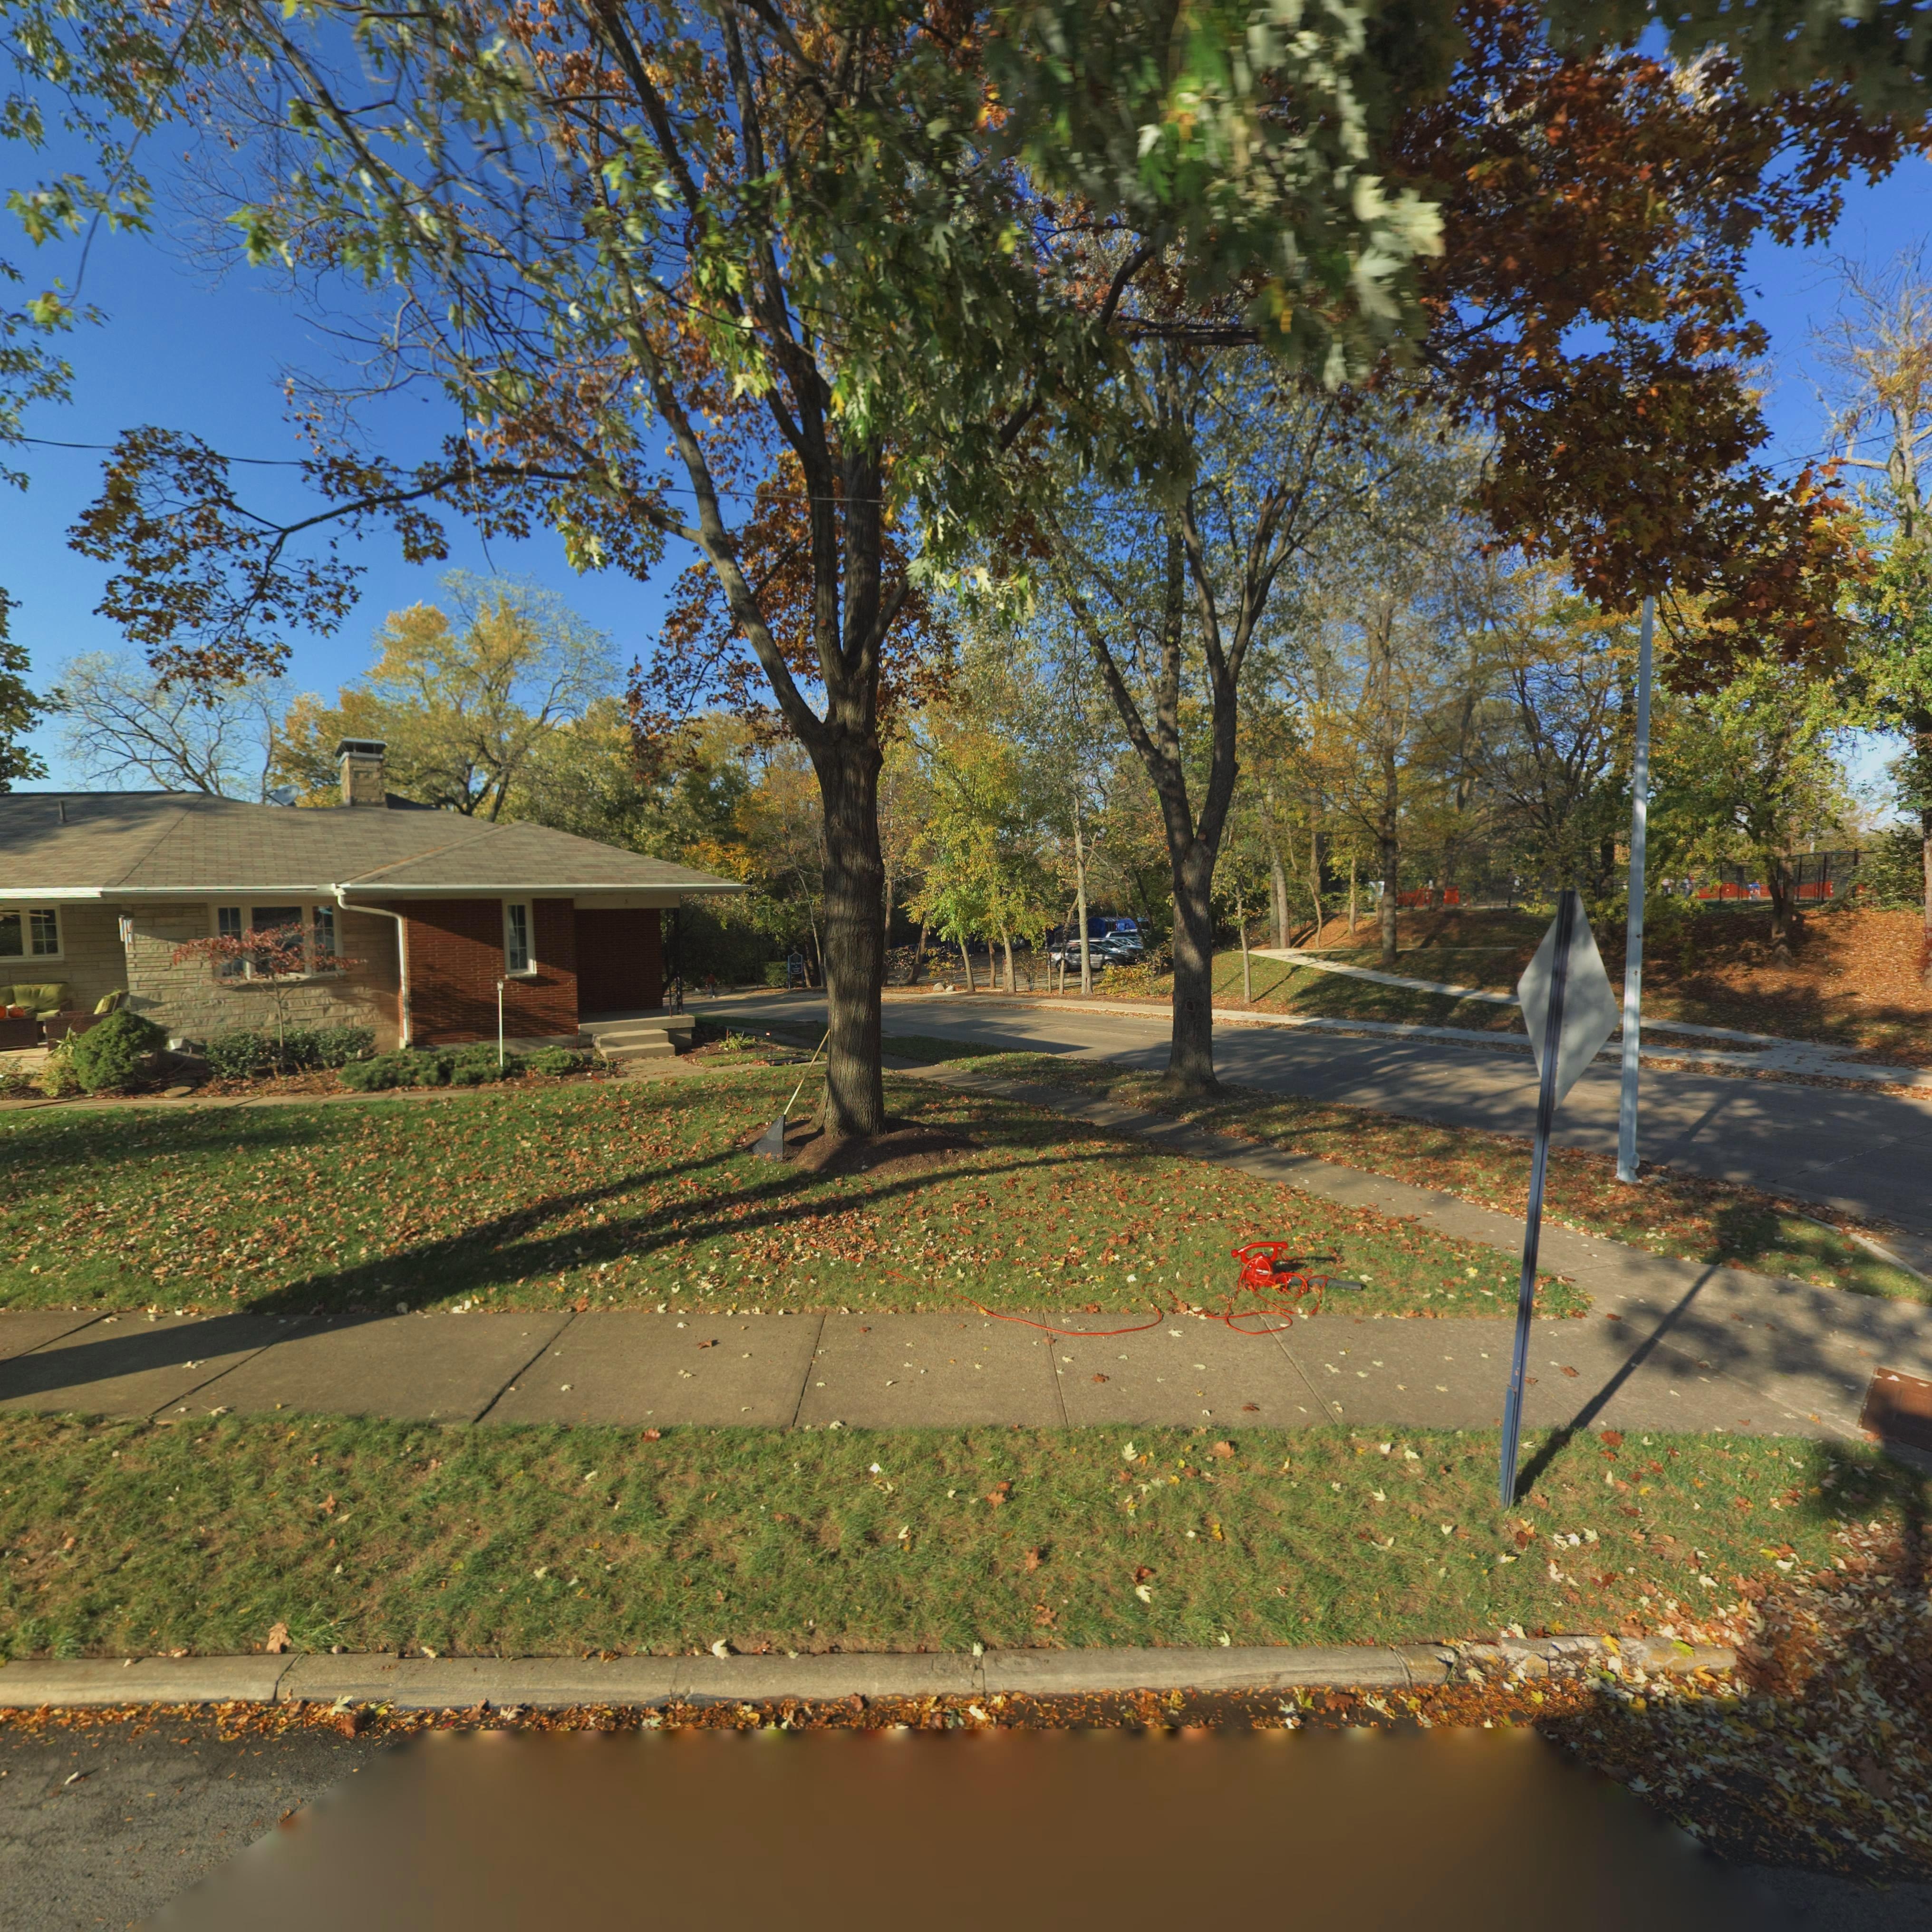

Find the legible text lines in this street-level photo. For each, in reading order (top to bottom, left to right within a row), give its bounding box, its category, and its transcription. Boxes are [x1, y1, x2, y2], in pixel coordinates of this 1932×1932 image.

[624, 898, 628, 905] StreetNumber: 5